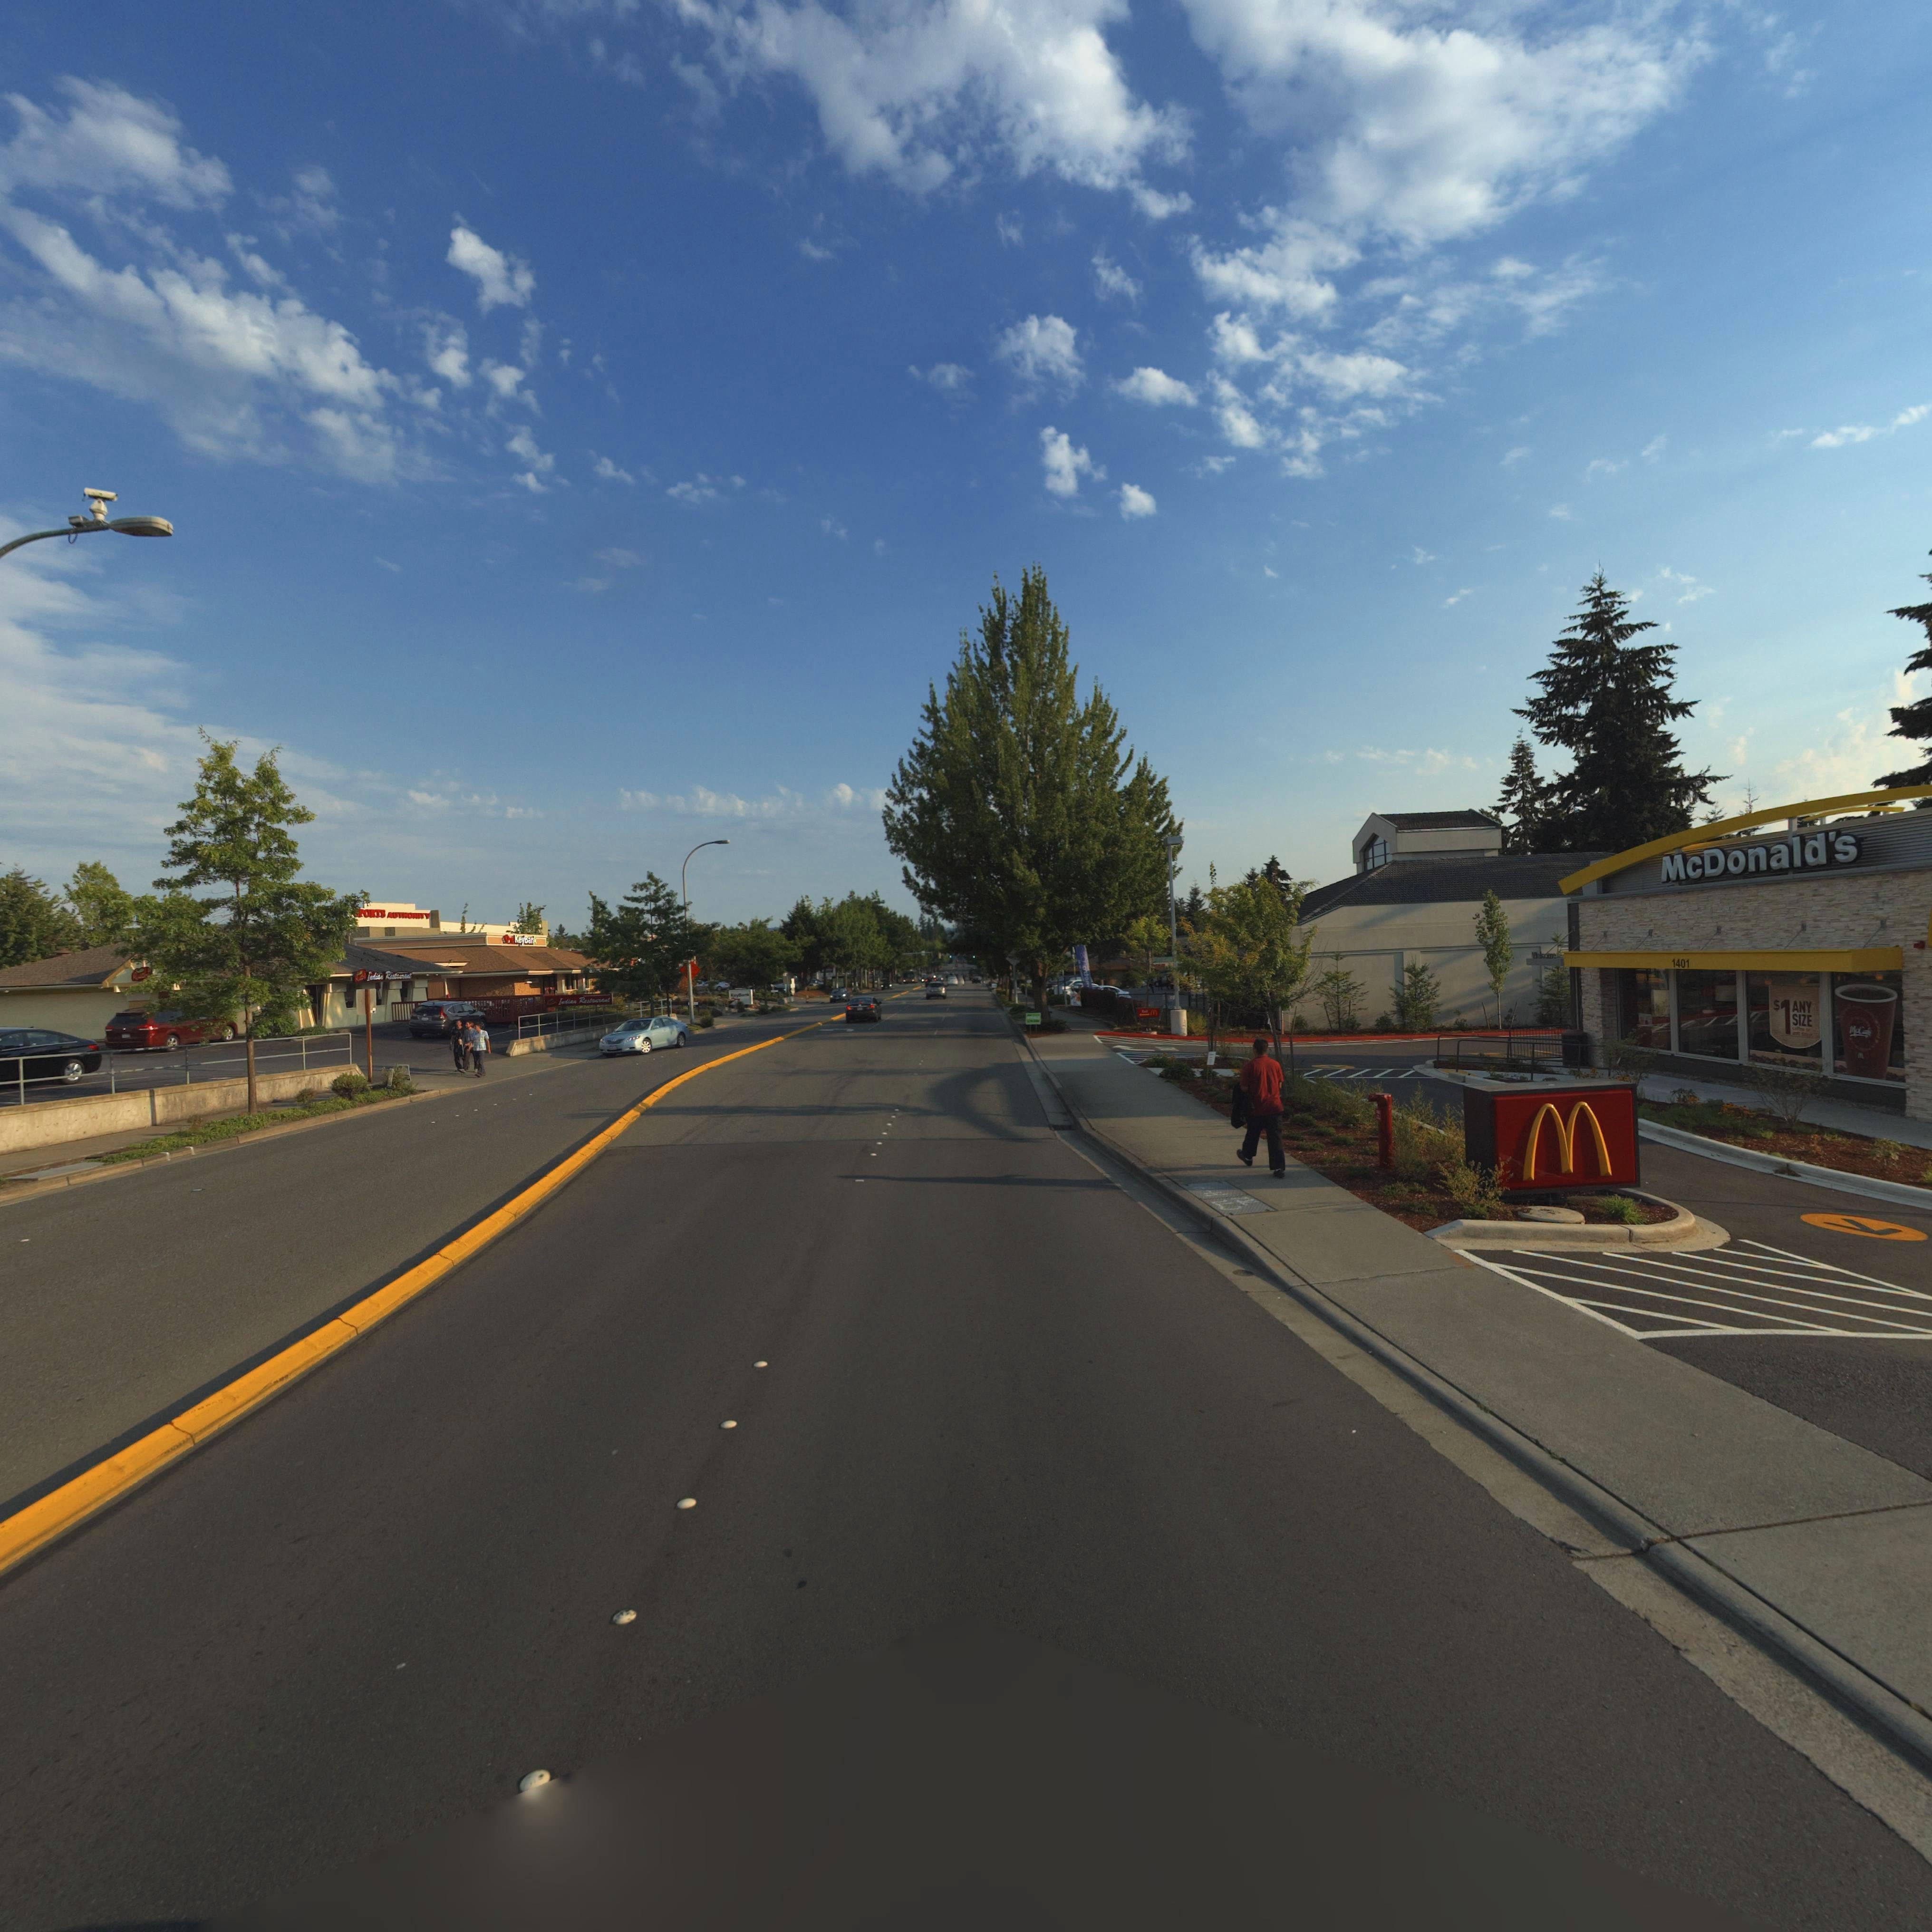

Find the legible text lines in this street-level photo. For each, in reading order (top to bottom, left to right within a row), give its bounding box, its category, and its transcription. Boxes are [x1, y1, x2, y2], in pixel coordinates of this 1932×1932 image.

[1658, 829, 1860, 884] BusinessName: McDonald*s
[358, 908, 386, 918] BusinessName: *ORTS
[386, 911, 430, 919] BusinessName: AUTHO**TY
[514, 934, 537, 945] BusinessName: KeyBank
[1671, 956, 1690, 969] StreetNumber: 1401